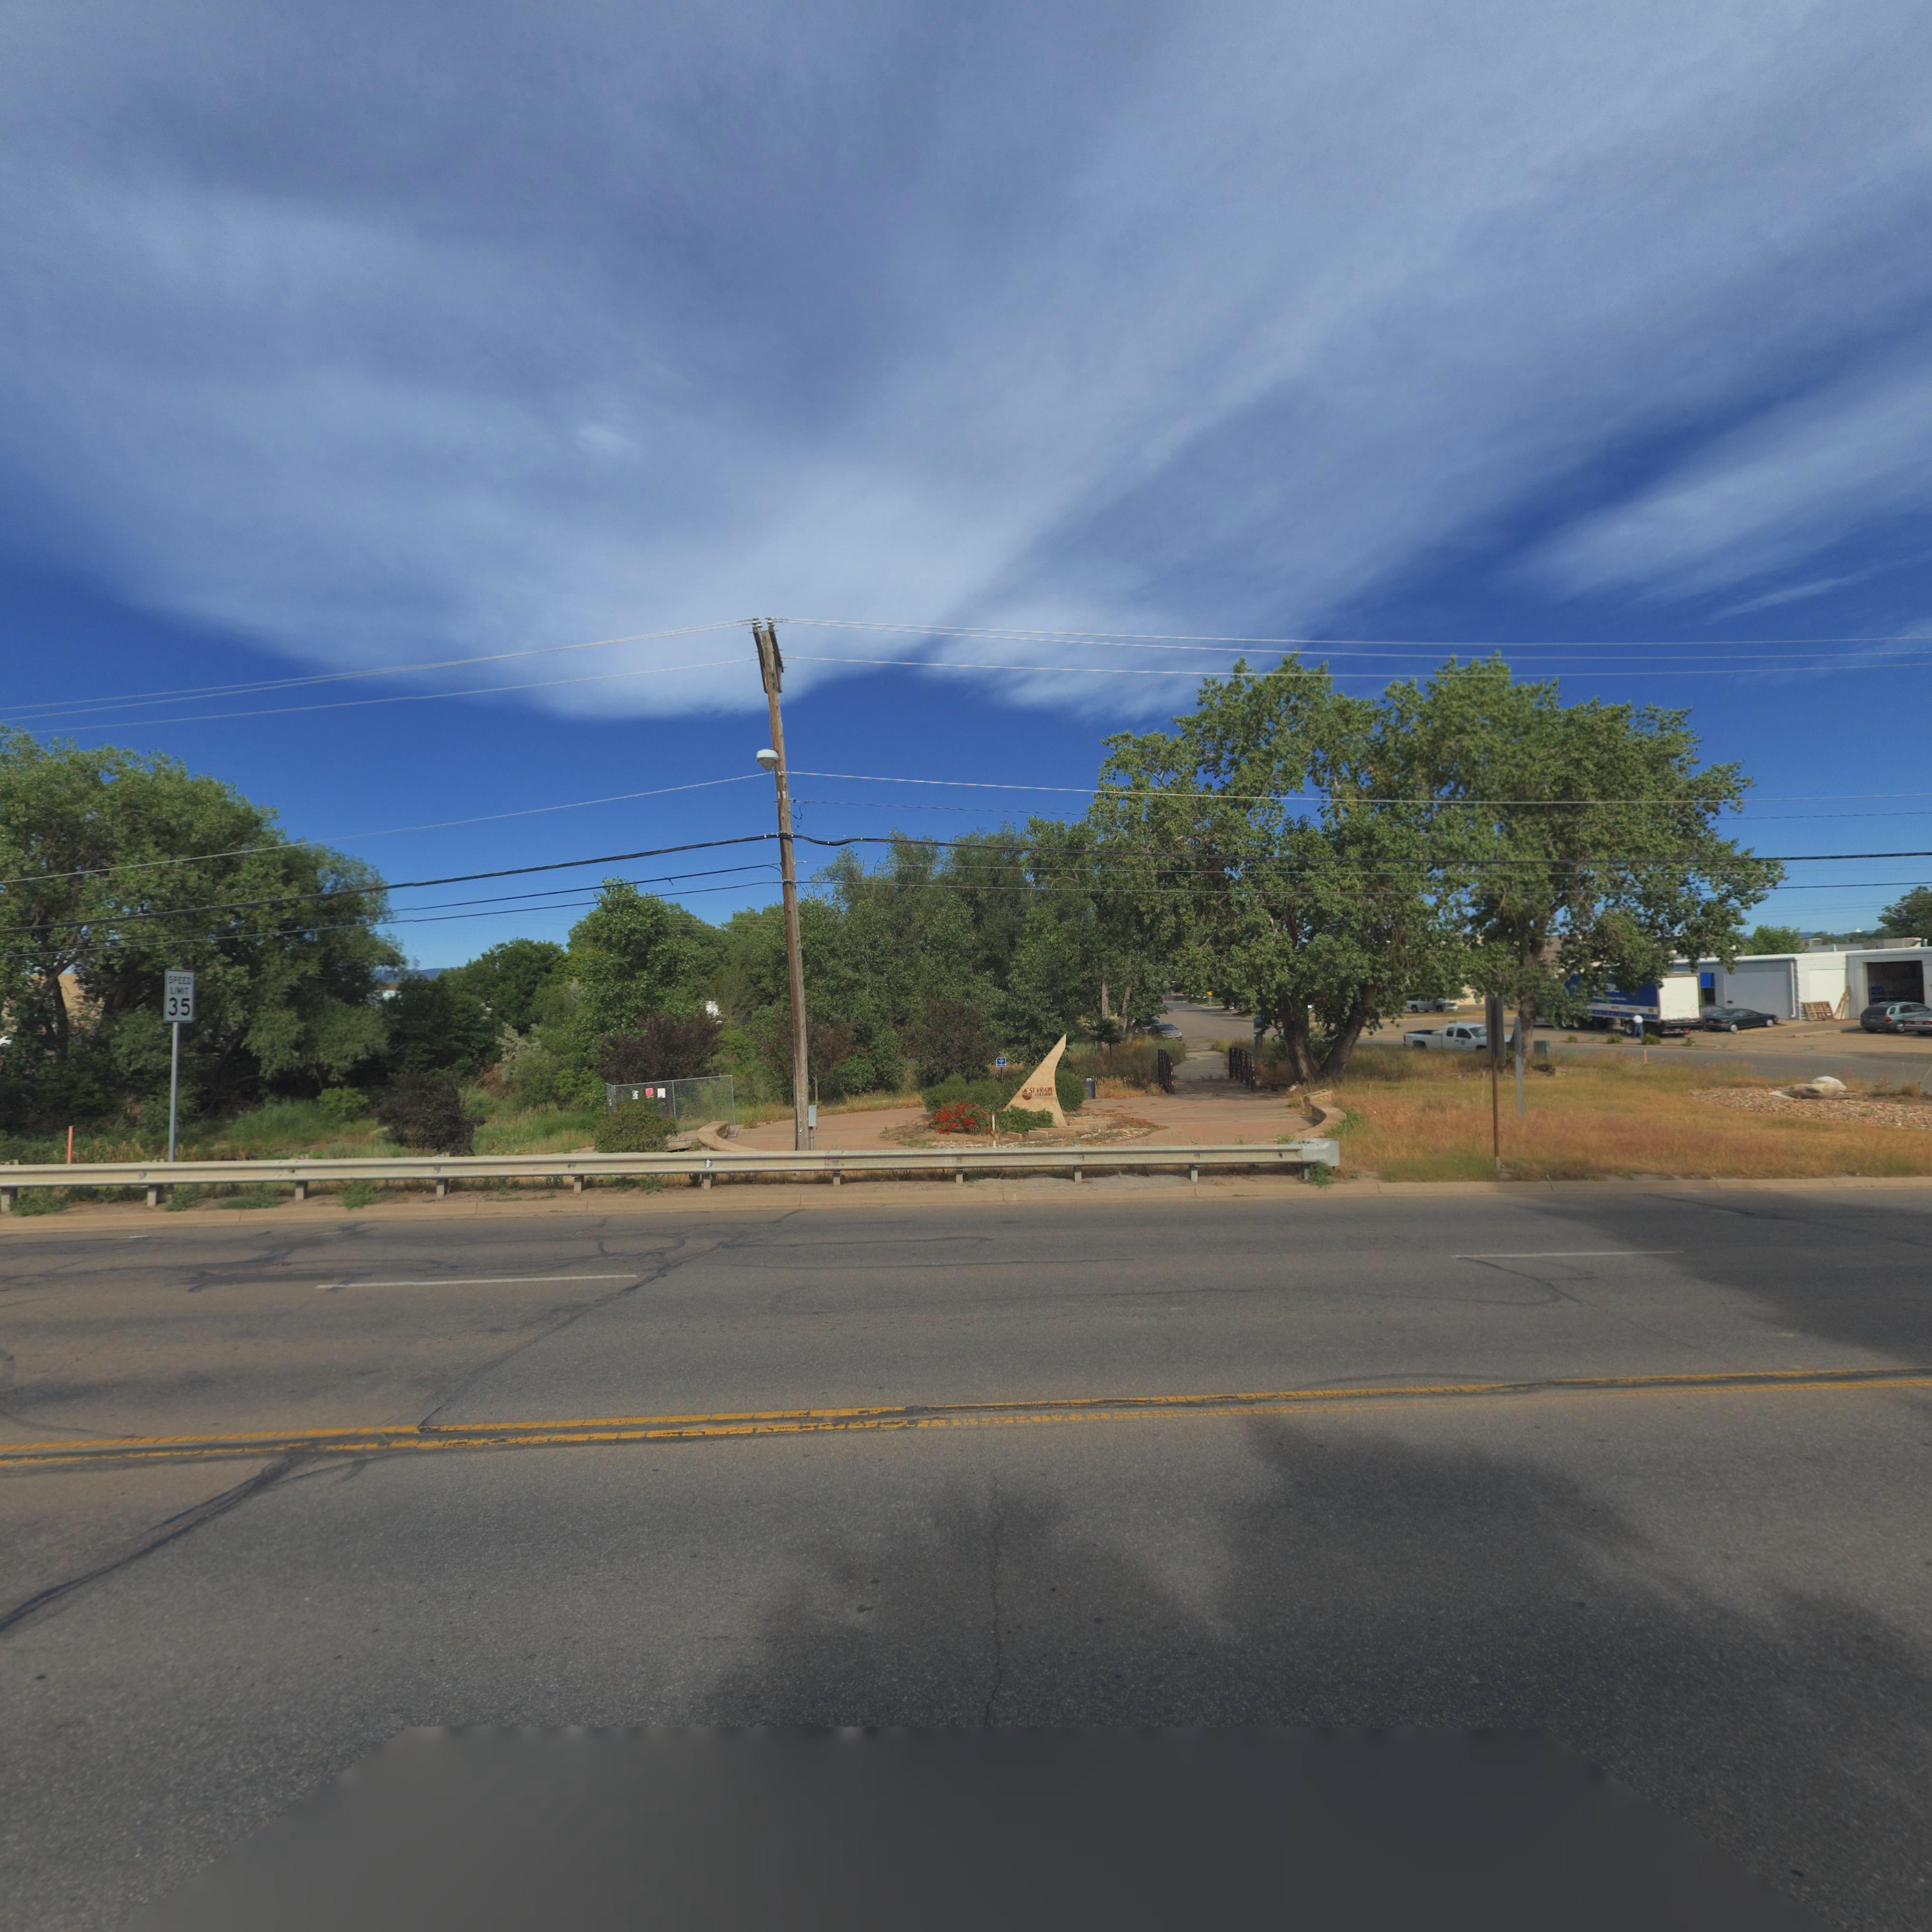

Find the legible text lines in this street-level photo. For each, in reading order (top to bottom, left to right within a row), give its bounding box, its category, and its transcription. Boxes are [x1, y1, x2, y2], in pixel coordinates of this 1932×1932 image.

[1028, 1087, 1052, 1093] BusinessName: St VRAIN